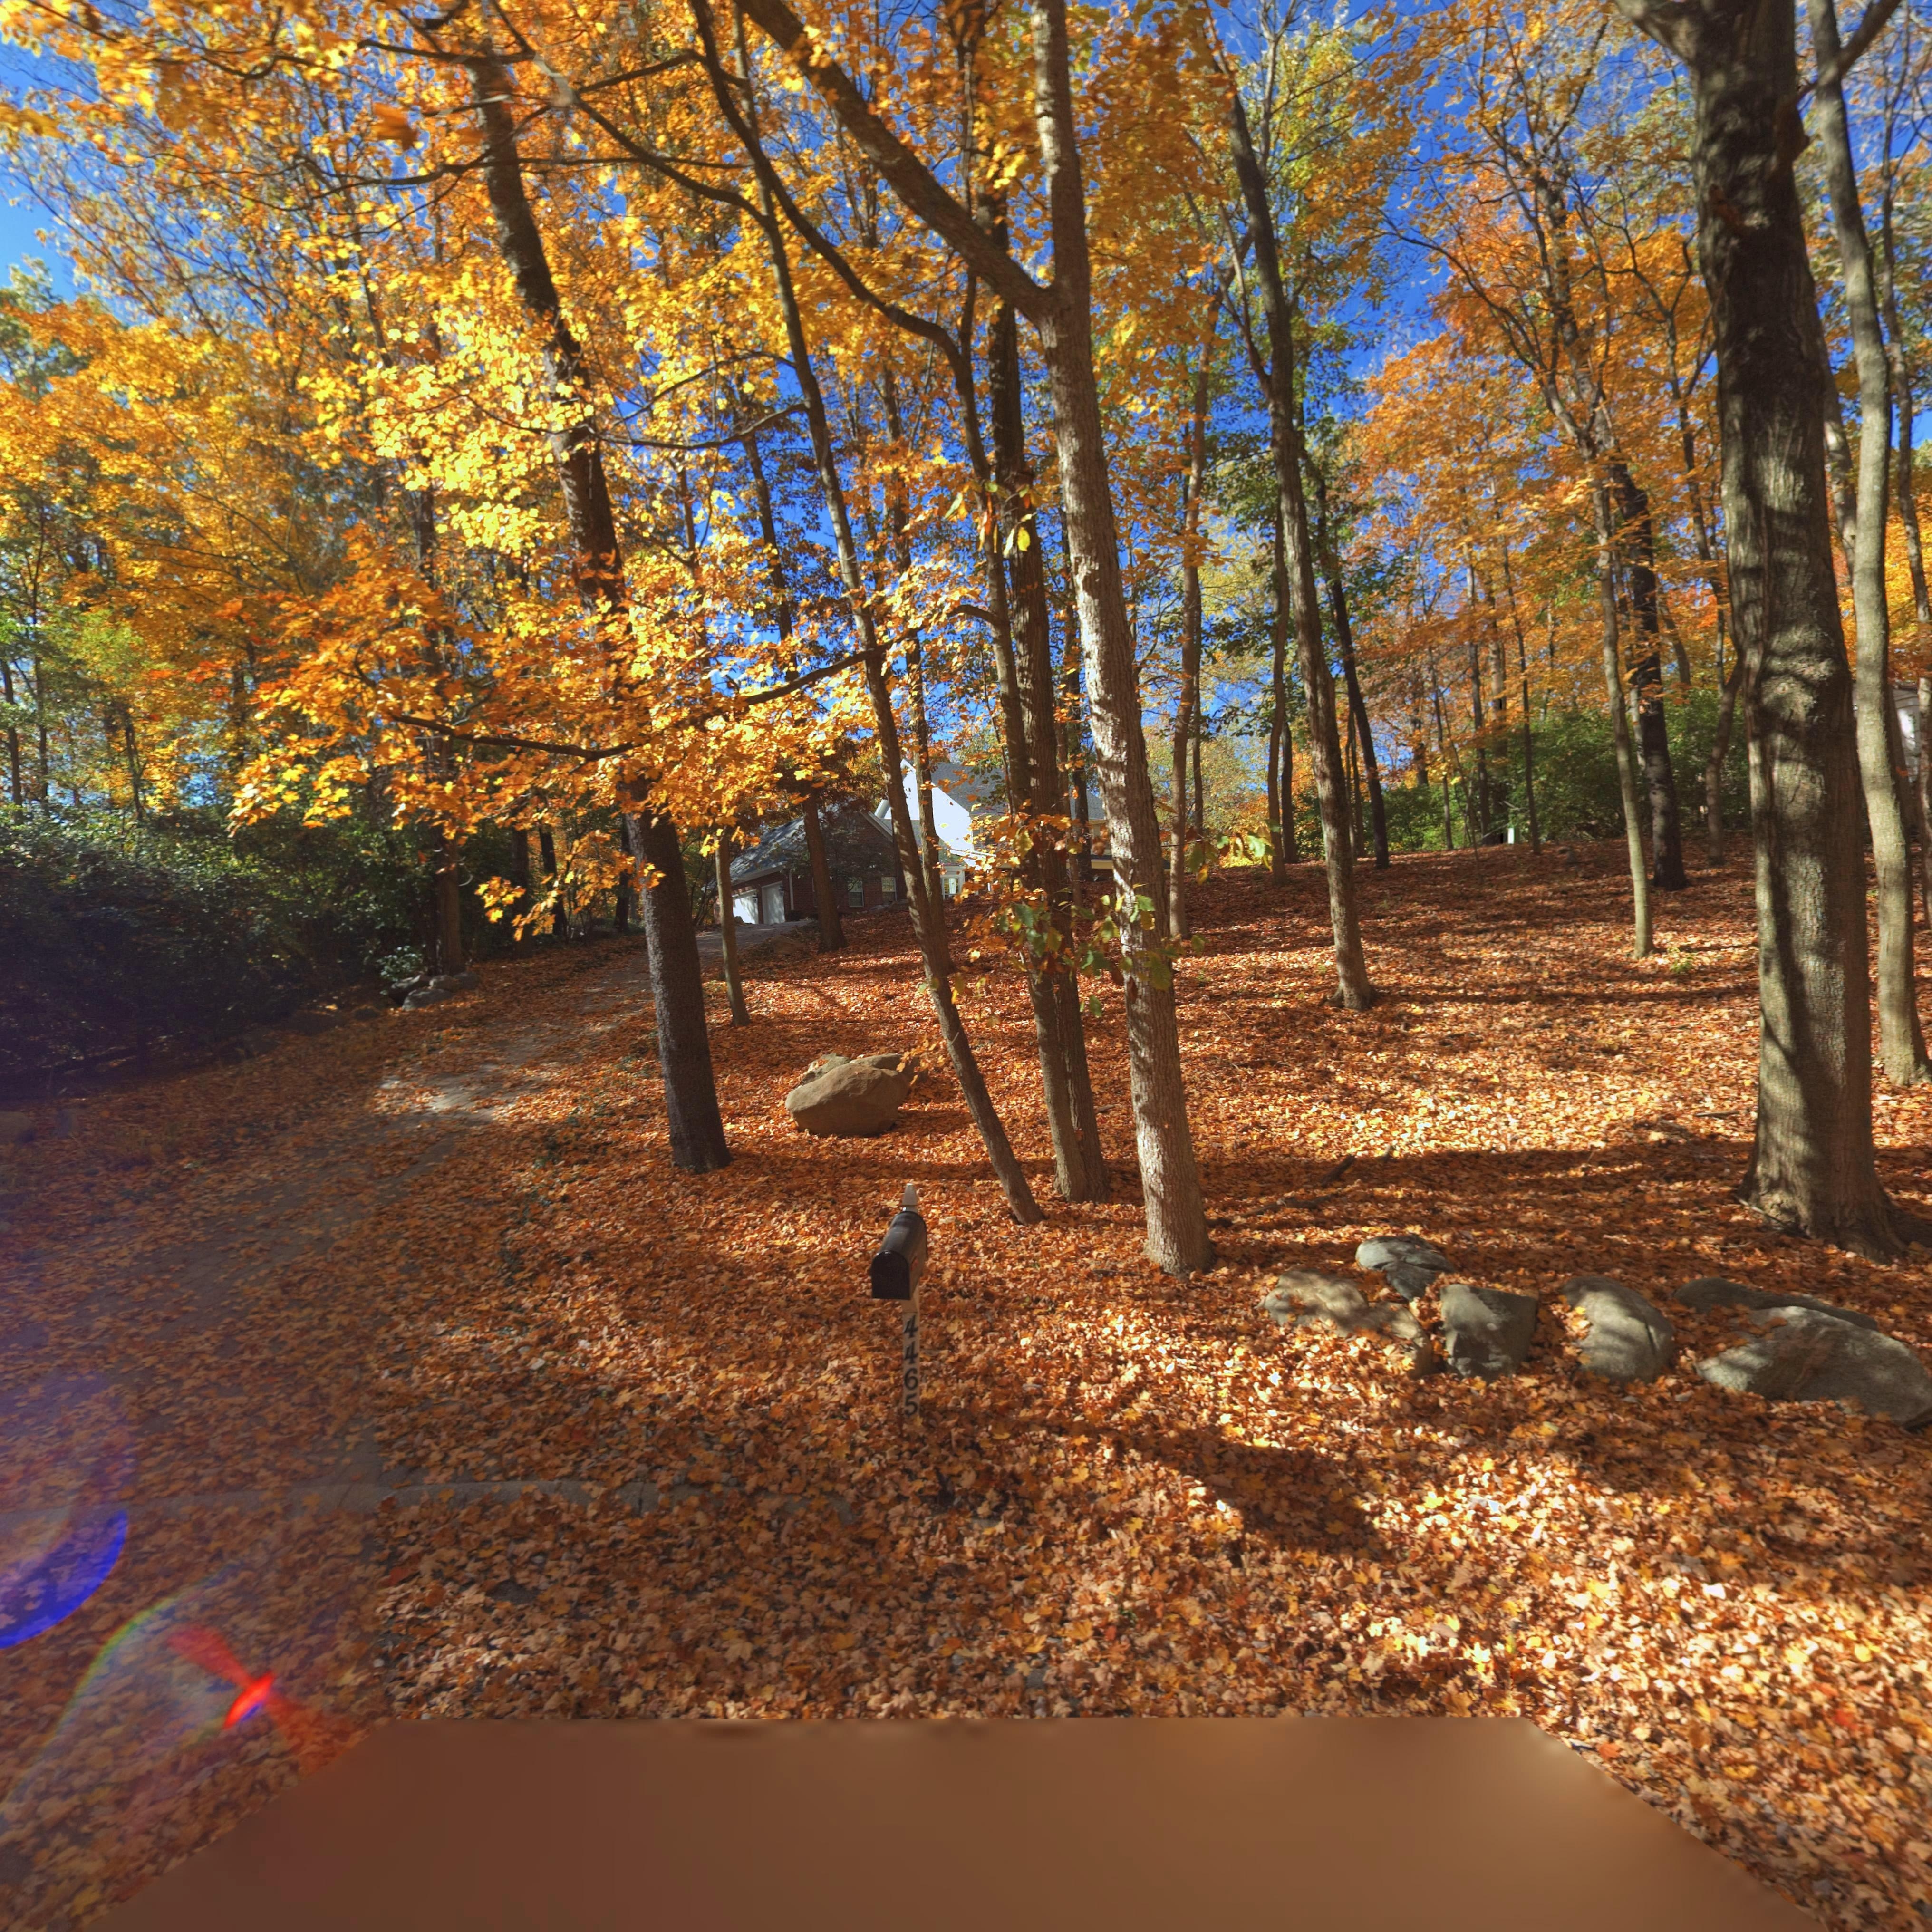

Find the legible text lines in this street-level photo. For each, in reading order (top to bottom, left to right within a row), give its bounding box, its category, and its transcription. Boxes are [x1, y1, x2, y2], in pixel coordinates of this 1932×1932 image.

[902, 1313, 920, 1418] StreetNumber: 4465